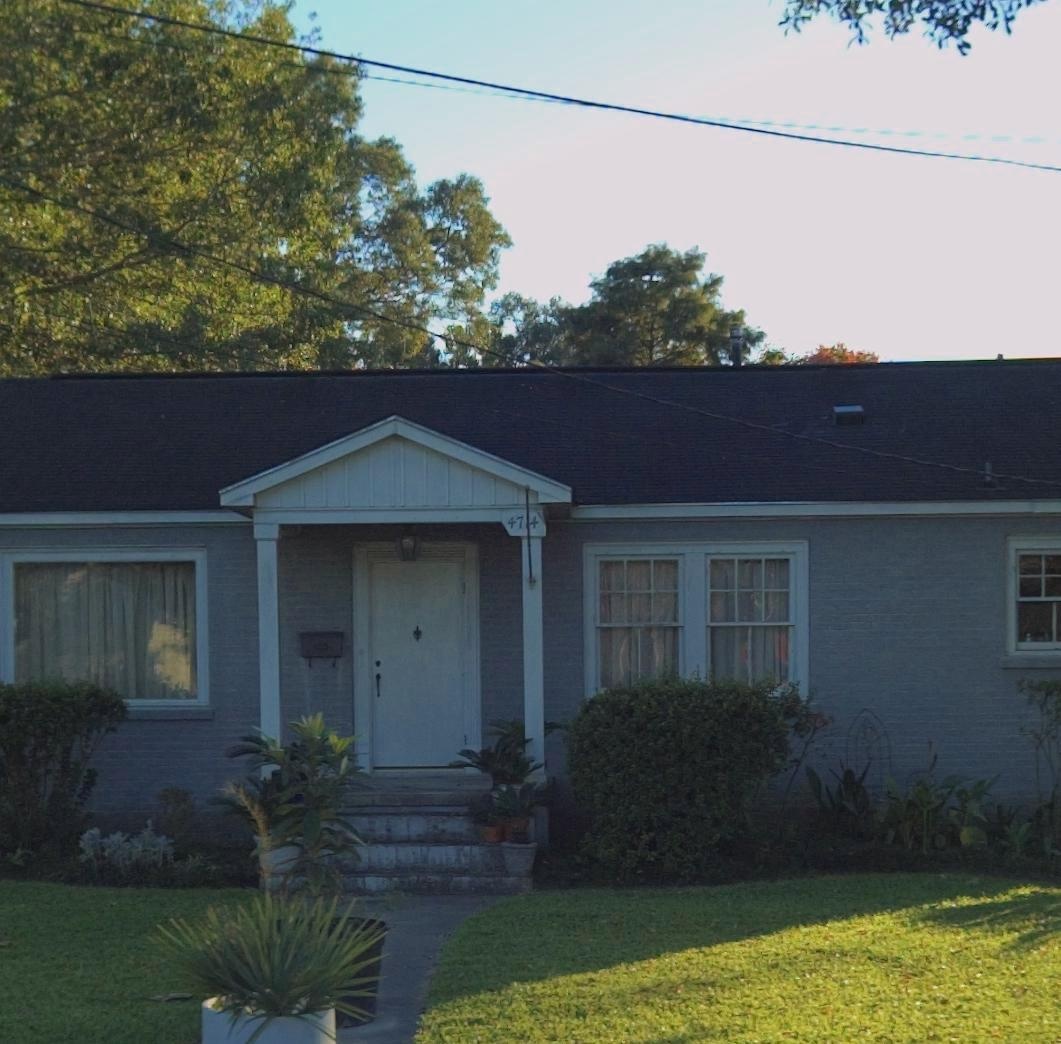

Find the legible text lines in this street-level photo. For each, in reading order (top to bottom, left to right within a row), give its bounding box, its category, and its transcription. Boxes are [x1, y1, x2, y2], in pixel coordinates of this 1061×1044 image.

[506, 513, 540, 531] StreetNumber: 47*4